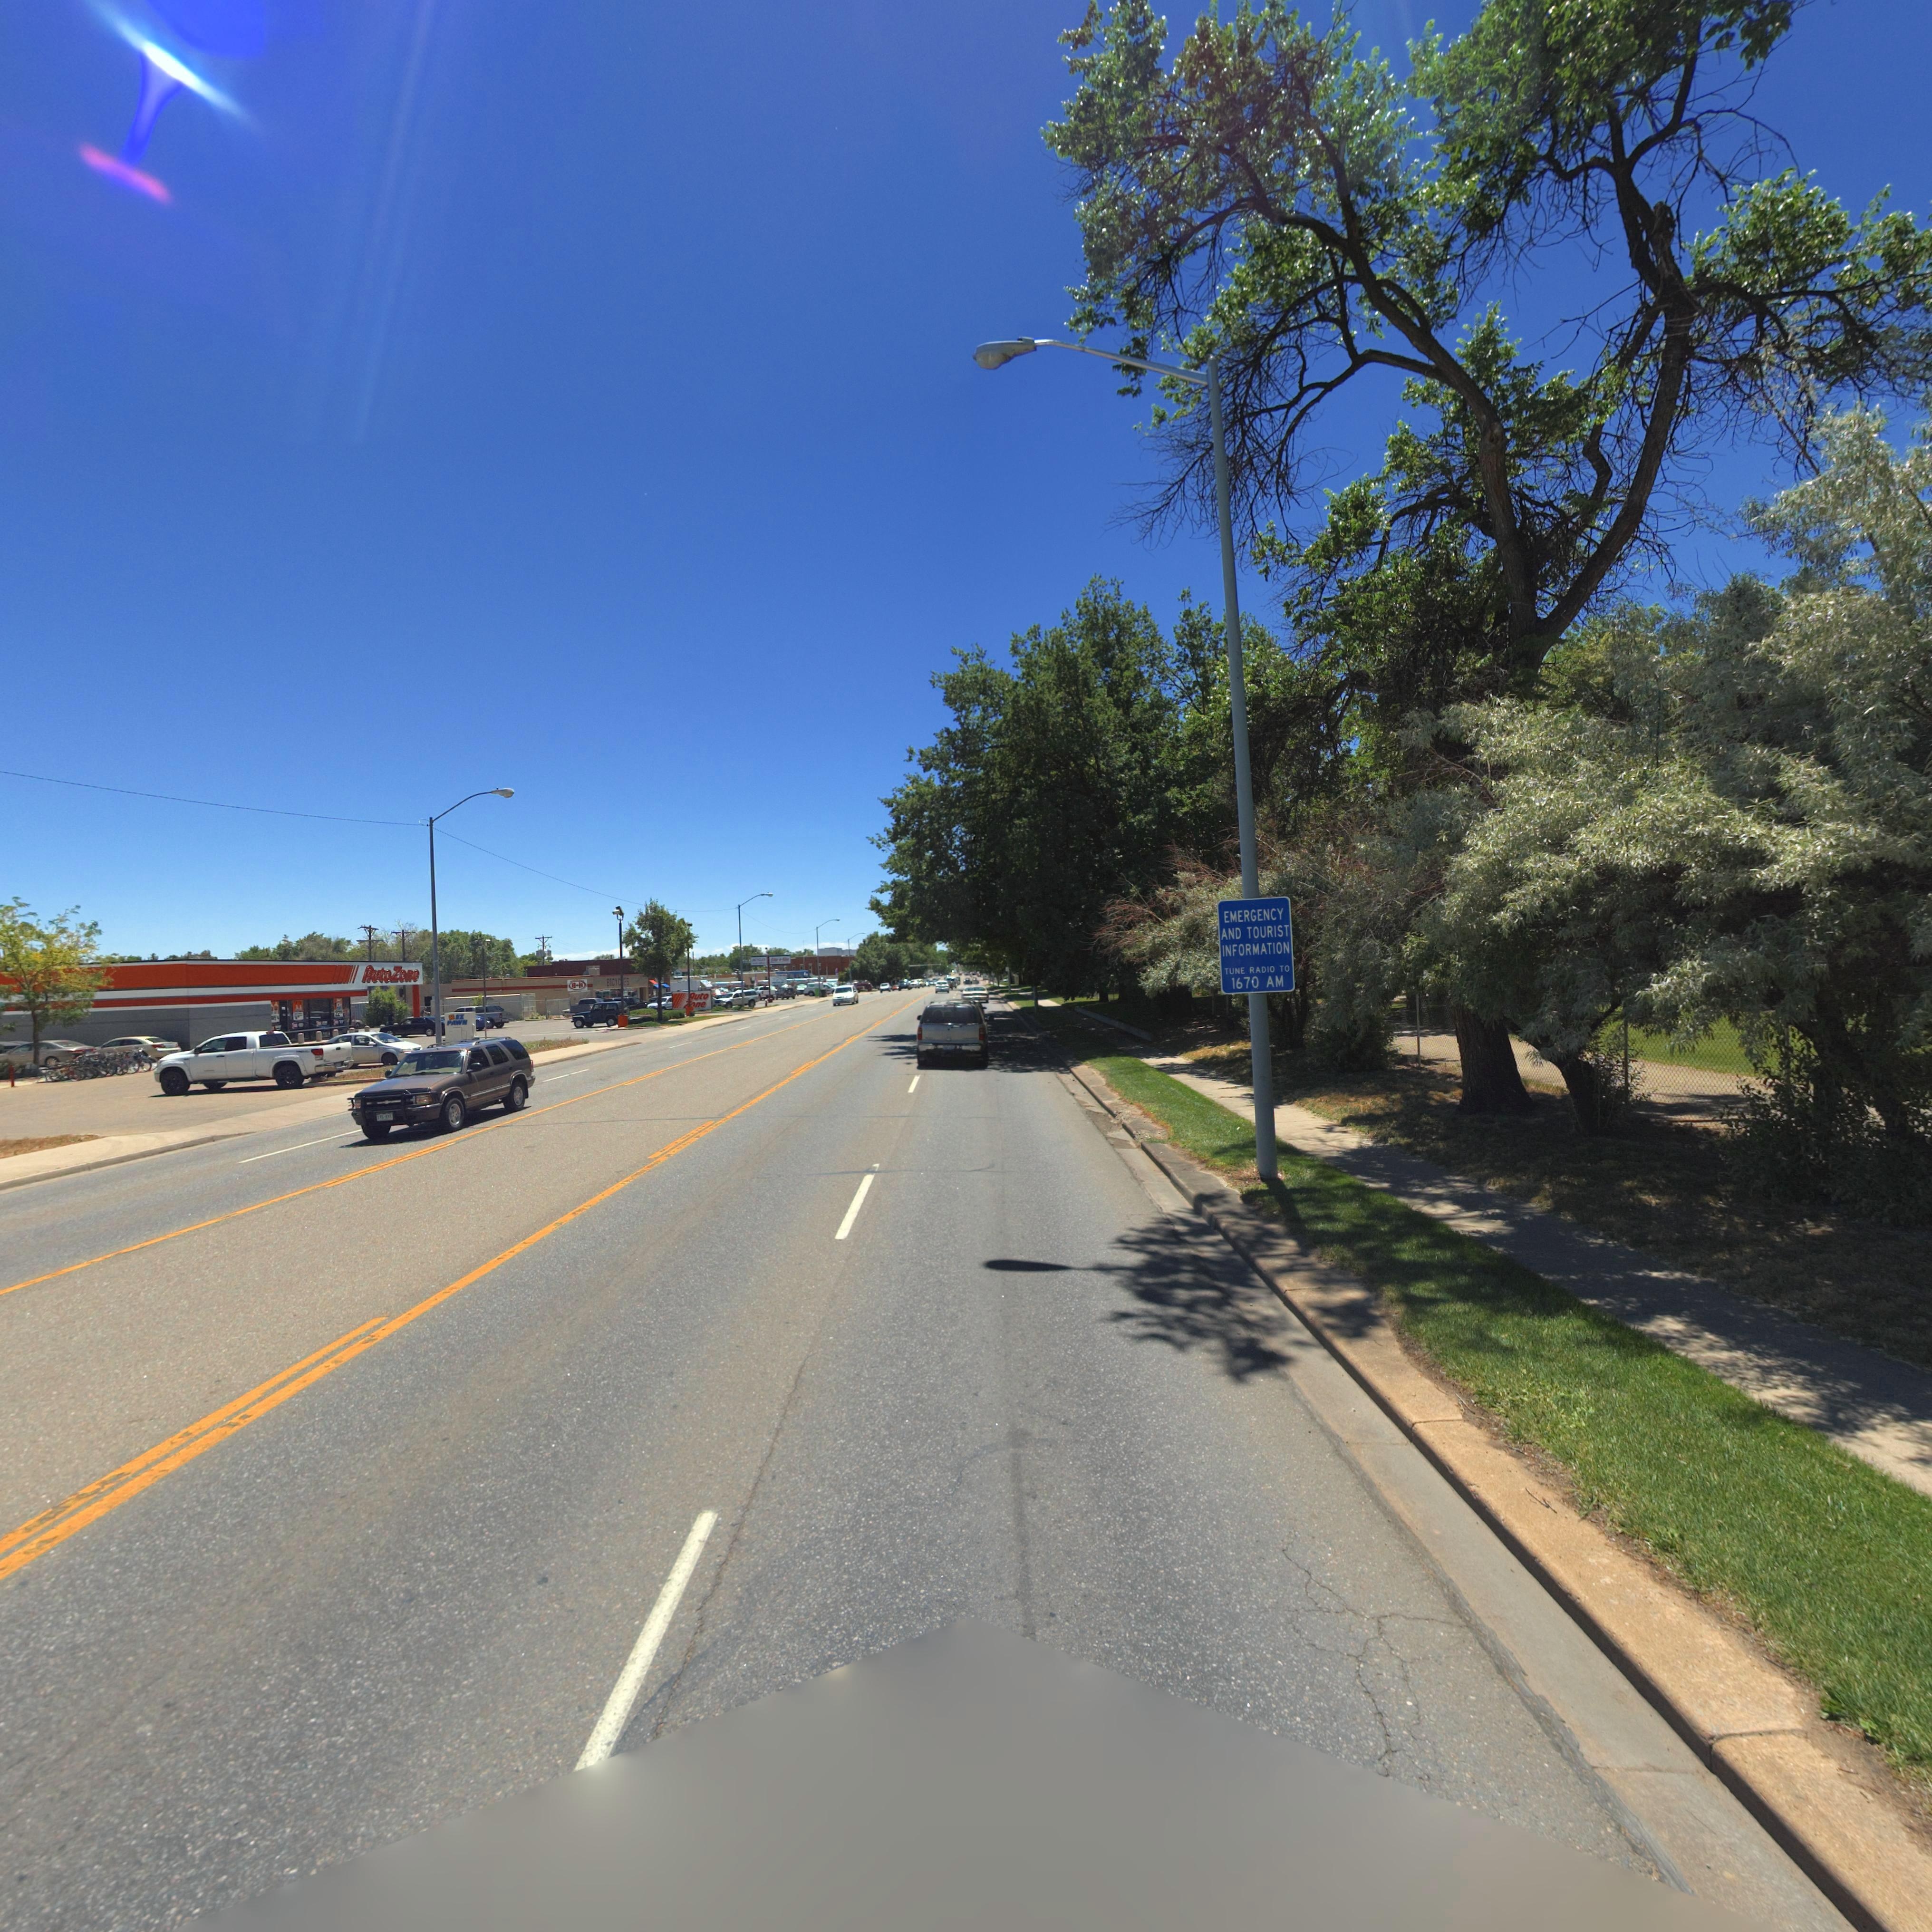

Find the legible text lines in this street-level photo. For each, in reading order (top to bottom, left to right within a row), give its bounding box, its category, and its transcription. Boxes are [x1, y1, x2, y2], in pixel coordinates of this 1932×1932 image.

[361, 964, 420, 983] BusinessName: AutoZone
[571, 981, 583, 989] BusinessName: B*H
[606, 977, 629, 986] BusinessName: BICYC*ES
[686, 992, 709, 1000] BusinessName: *uto
[683, 1000, 706, 1008] BusinessName: *one
[455, 1014, 464, 1020] BusinessName: EZ
[446, 1019, 467, 1025] BusinessName: PAWN